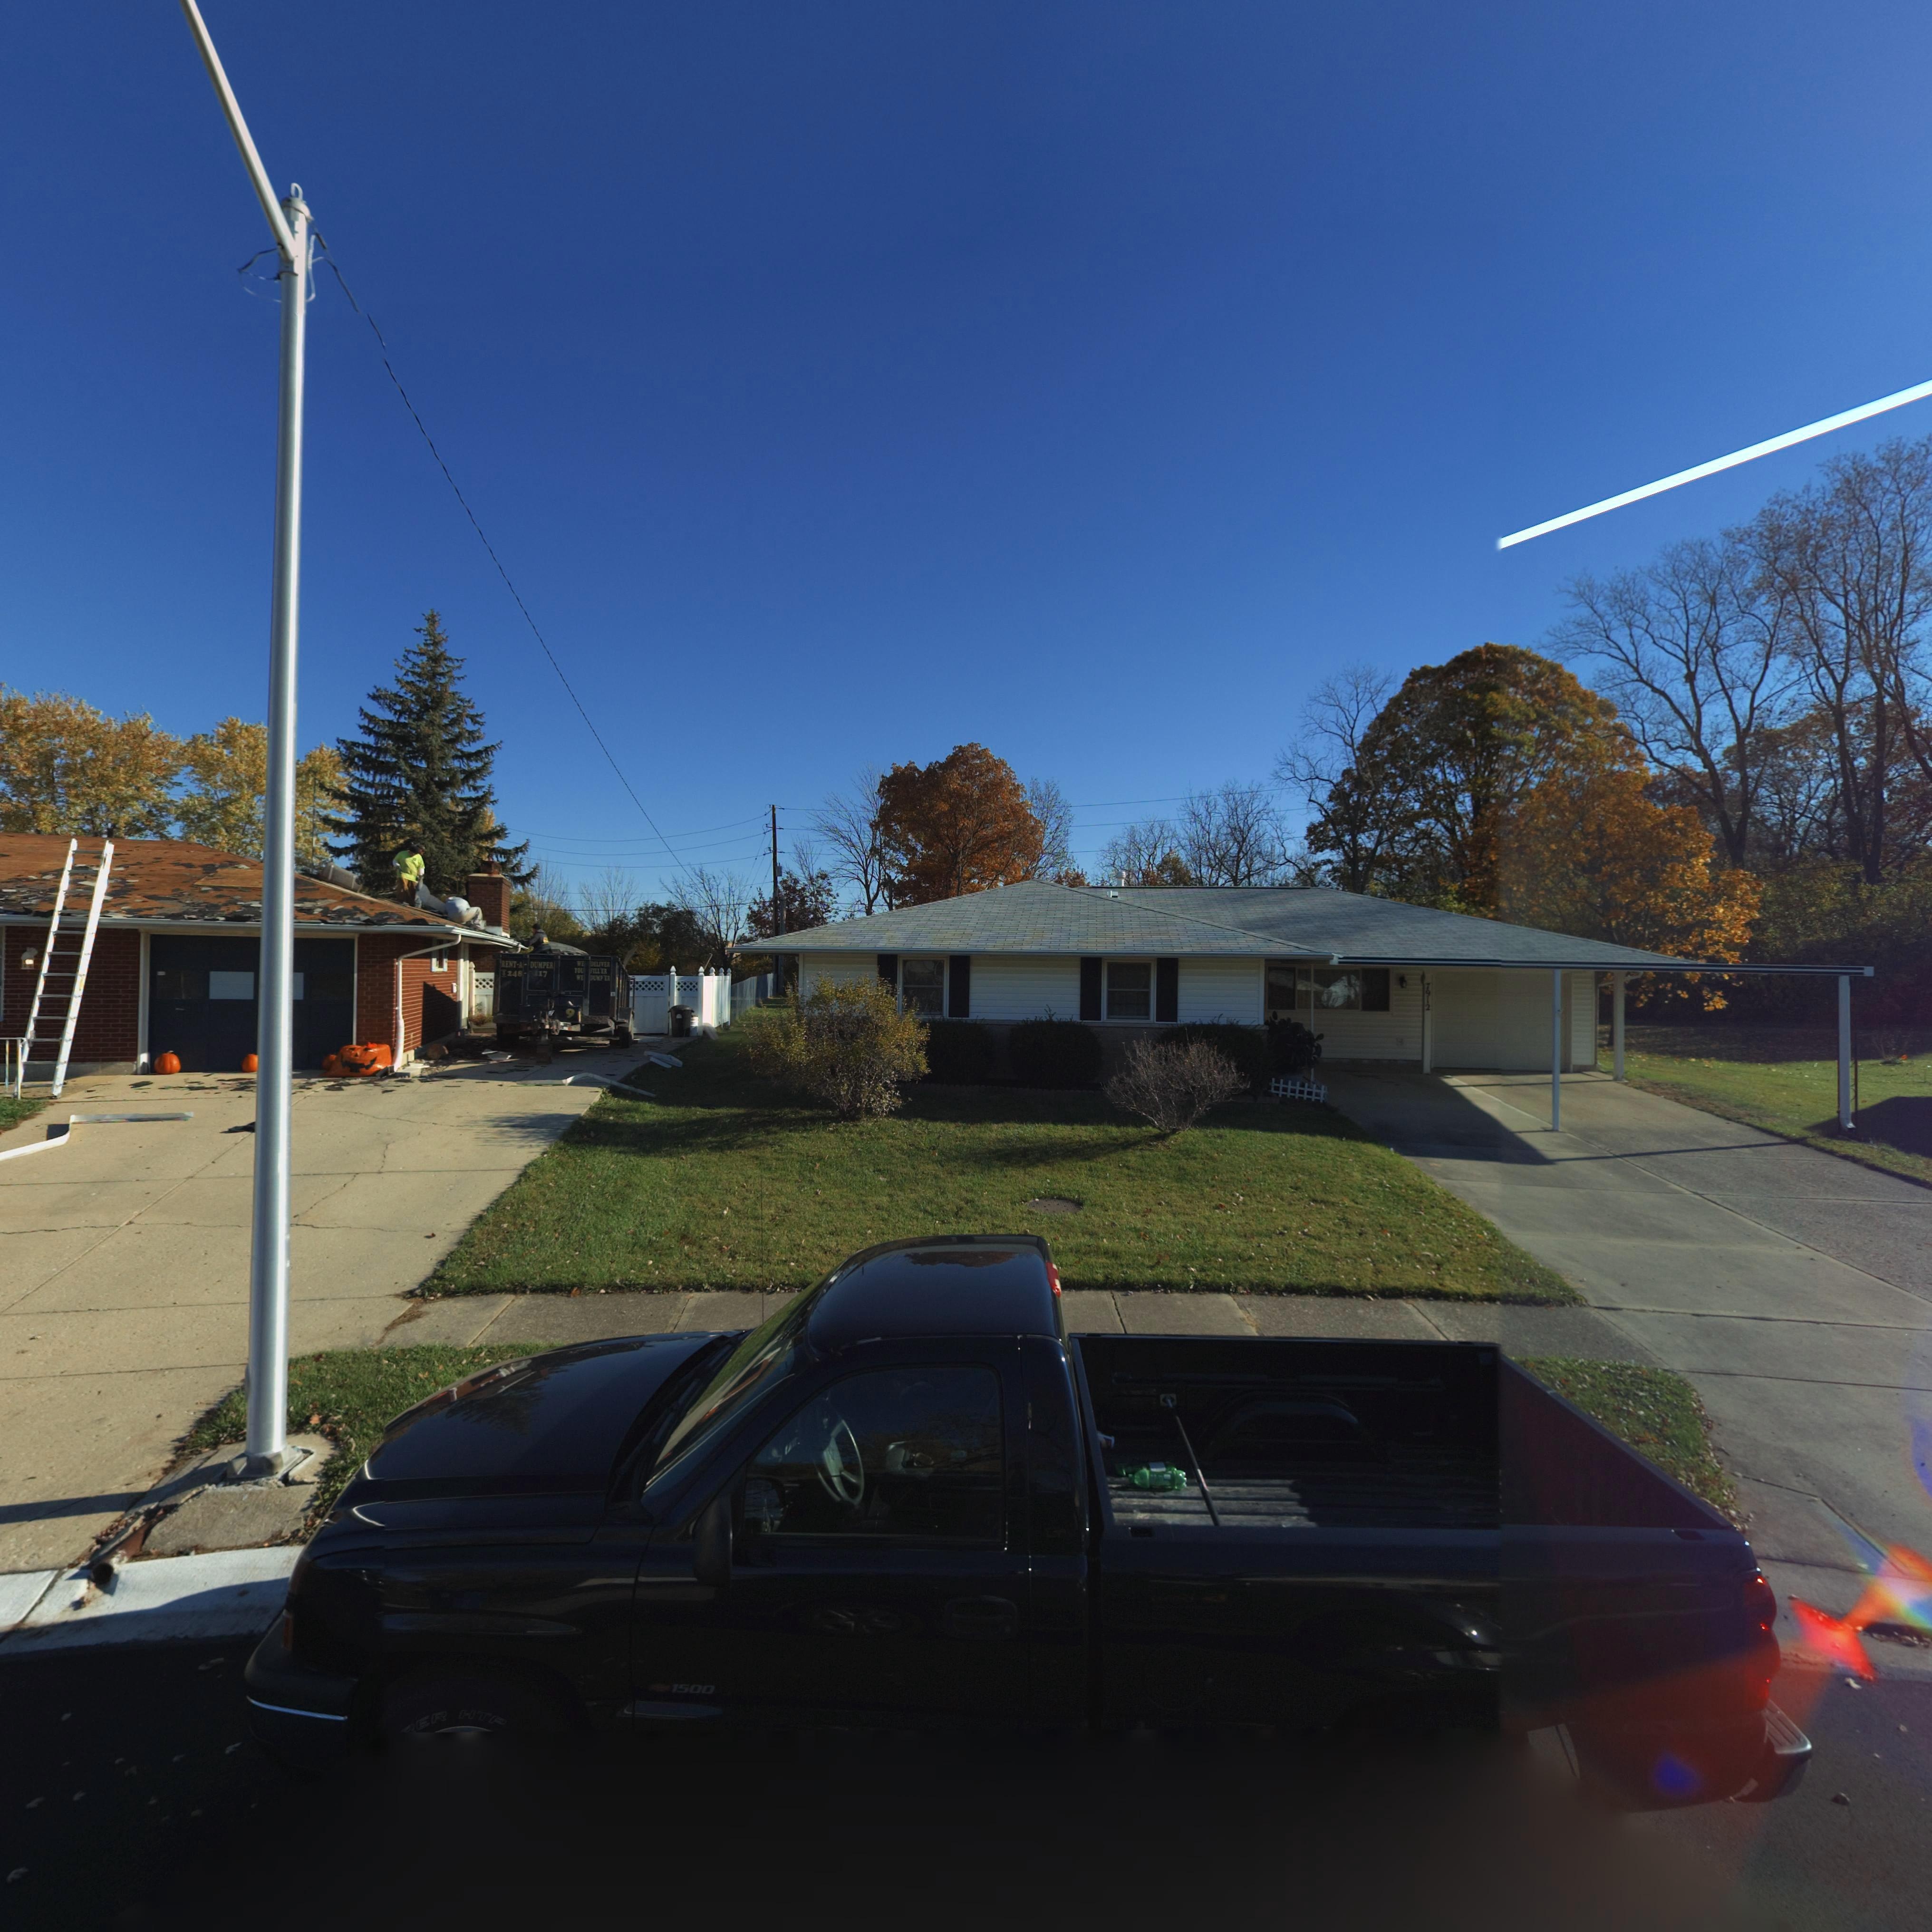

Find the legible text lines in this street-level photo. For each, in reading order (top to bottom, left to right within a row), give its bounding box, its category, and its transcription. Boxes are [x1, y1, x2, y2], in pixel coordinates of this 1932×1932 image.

[1425, 982, 1432, 1012] StreetNumber: 7912